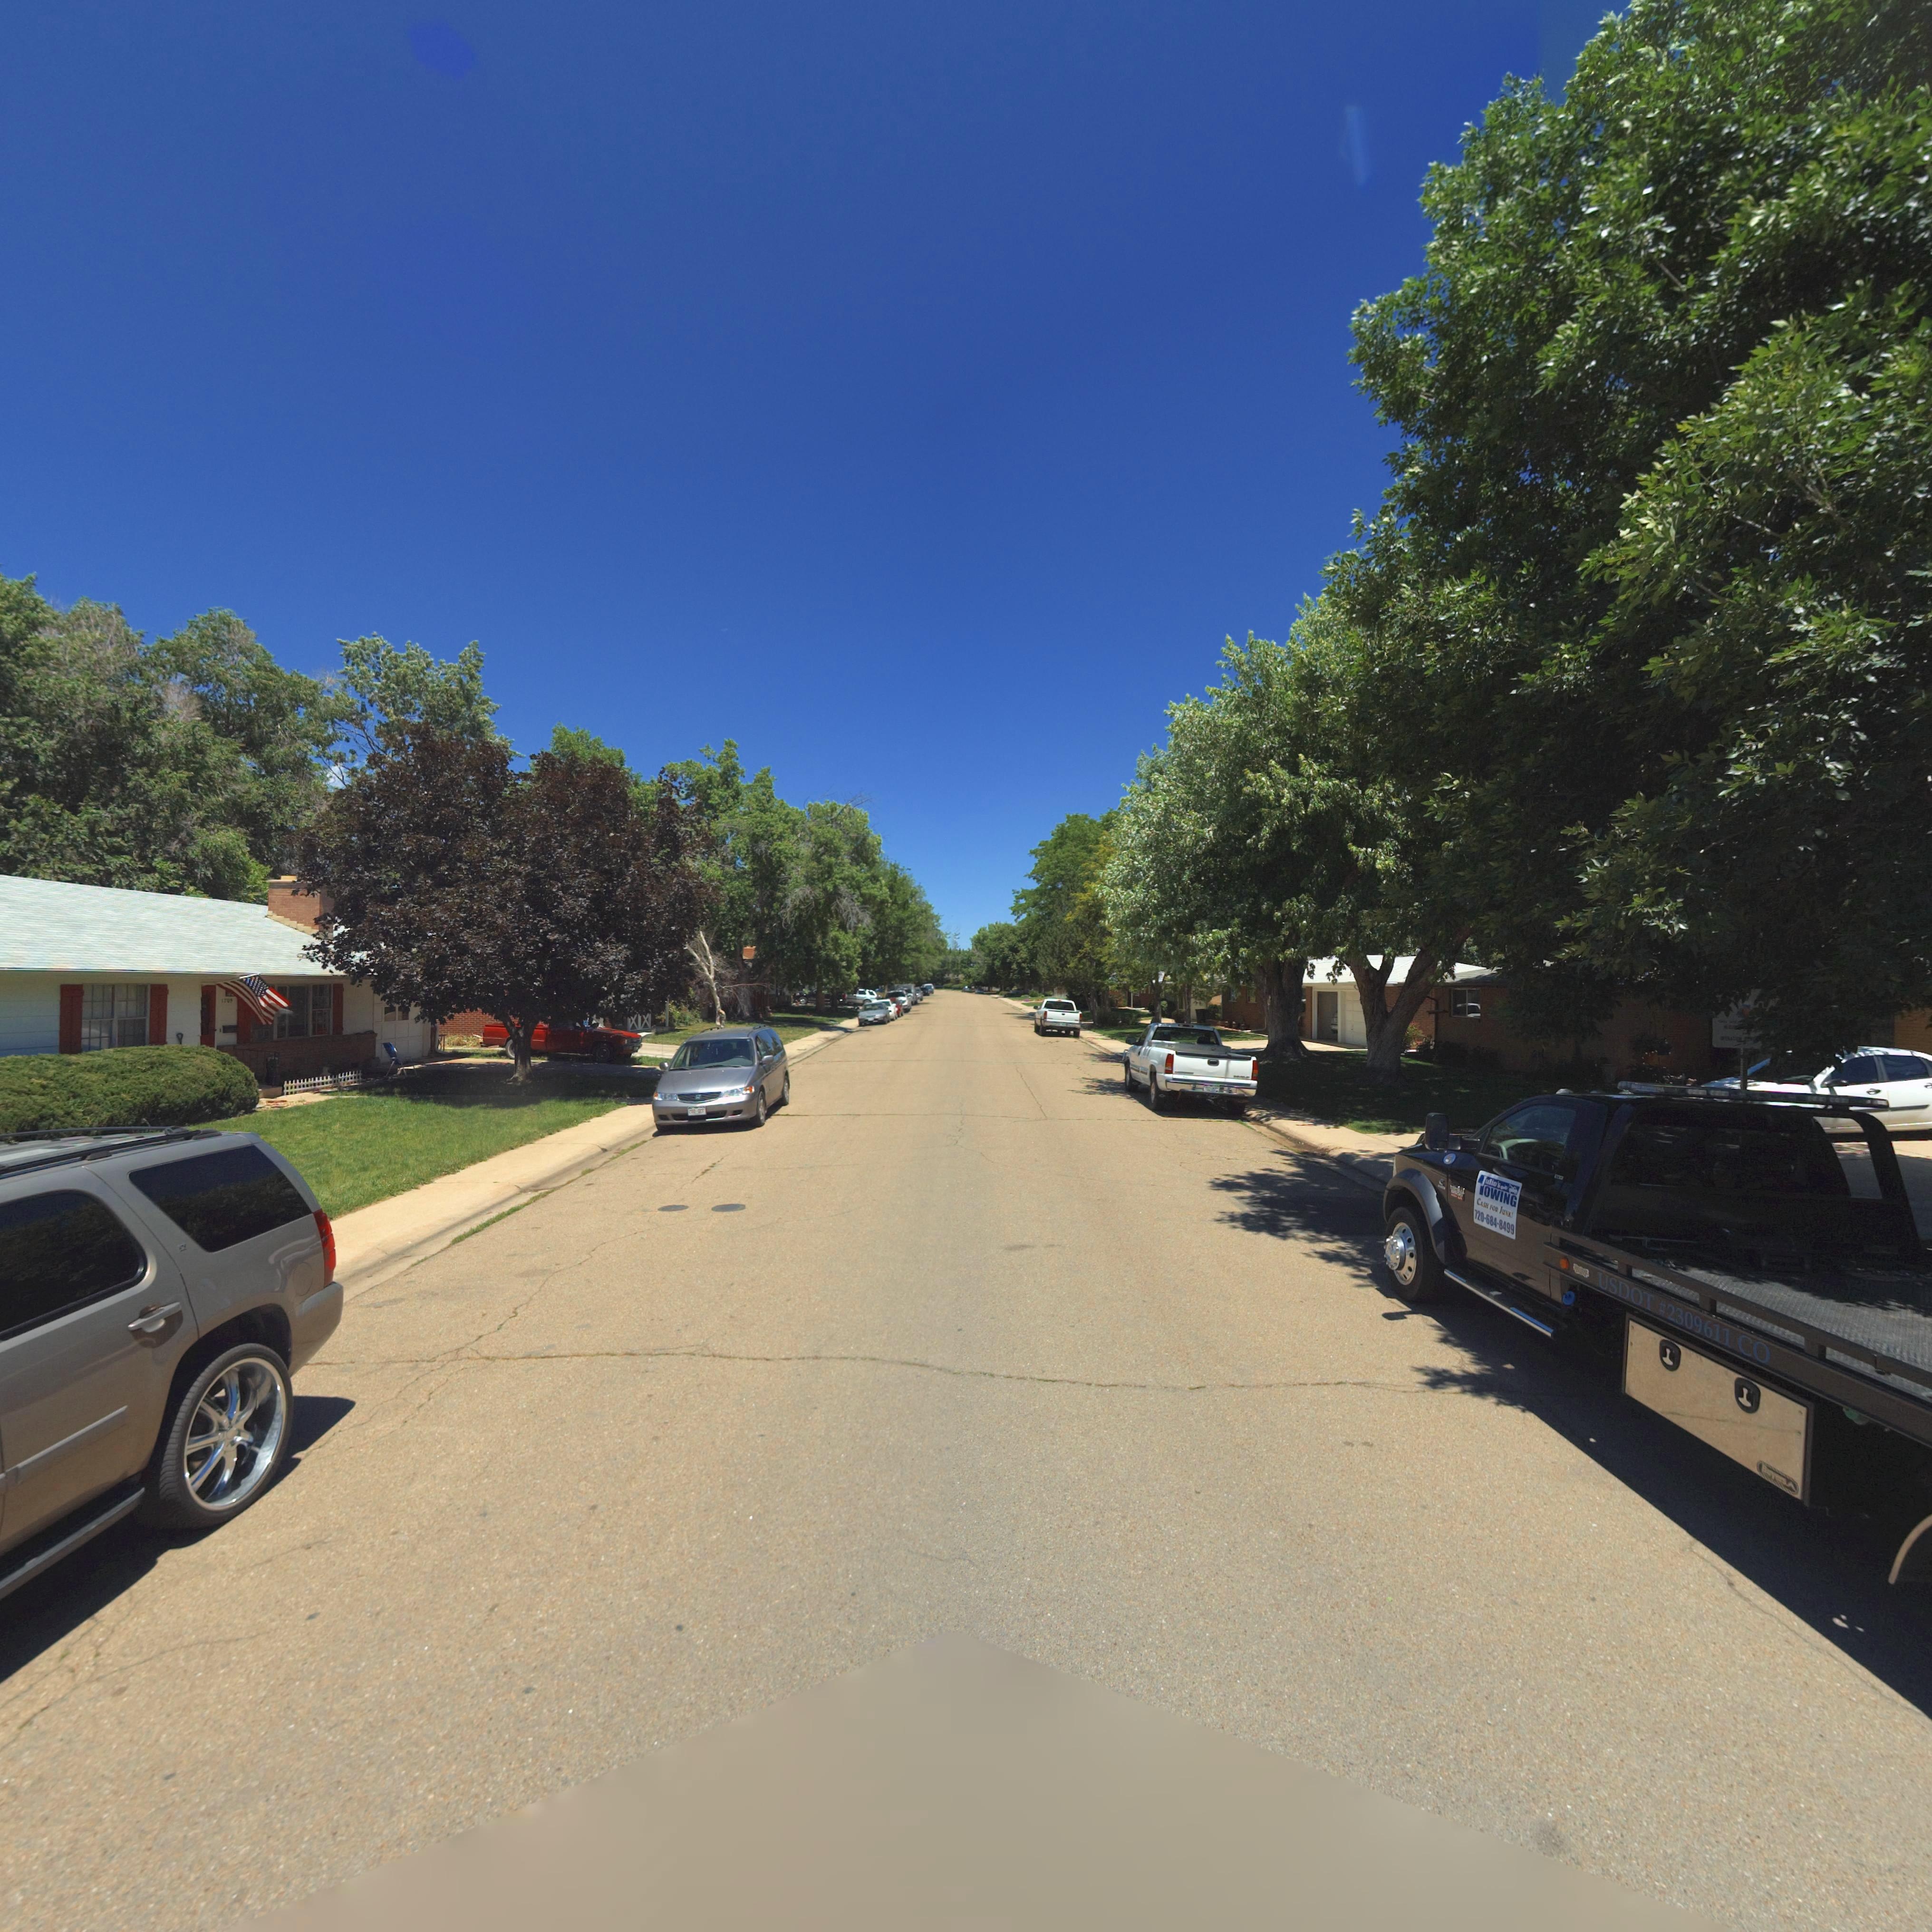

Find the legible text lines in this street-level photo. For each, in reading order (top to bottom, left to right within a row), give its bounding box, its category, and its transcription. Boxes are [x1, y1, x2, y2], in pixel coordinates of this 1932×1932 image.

[221, 998, 232, 1004] StreetNumber: 17**